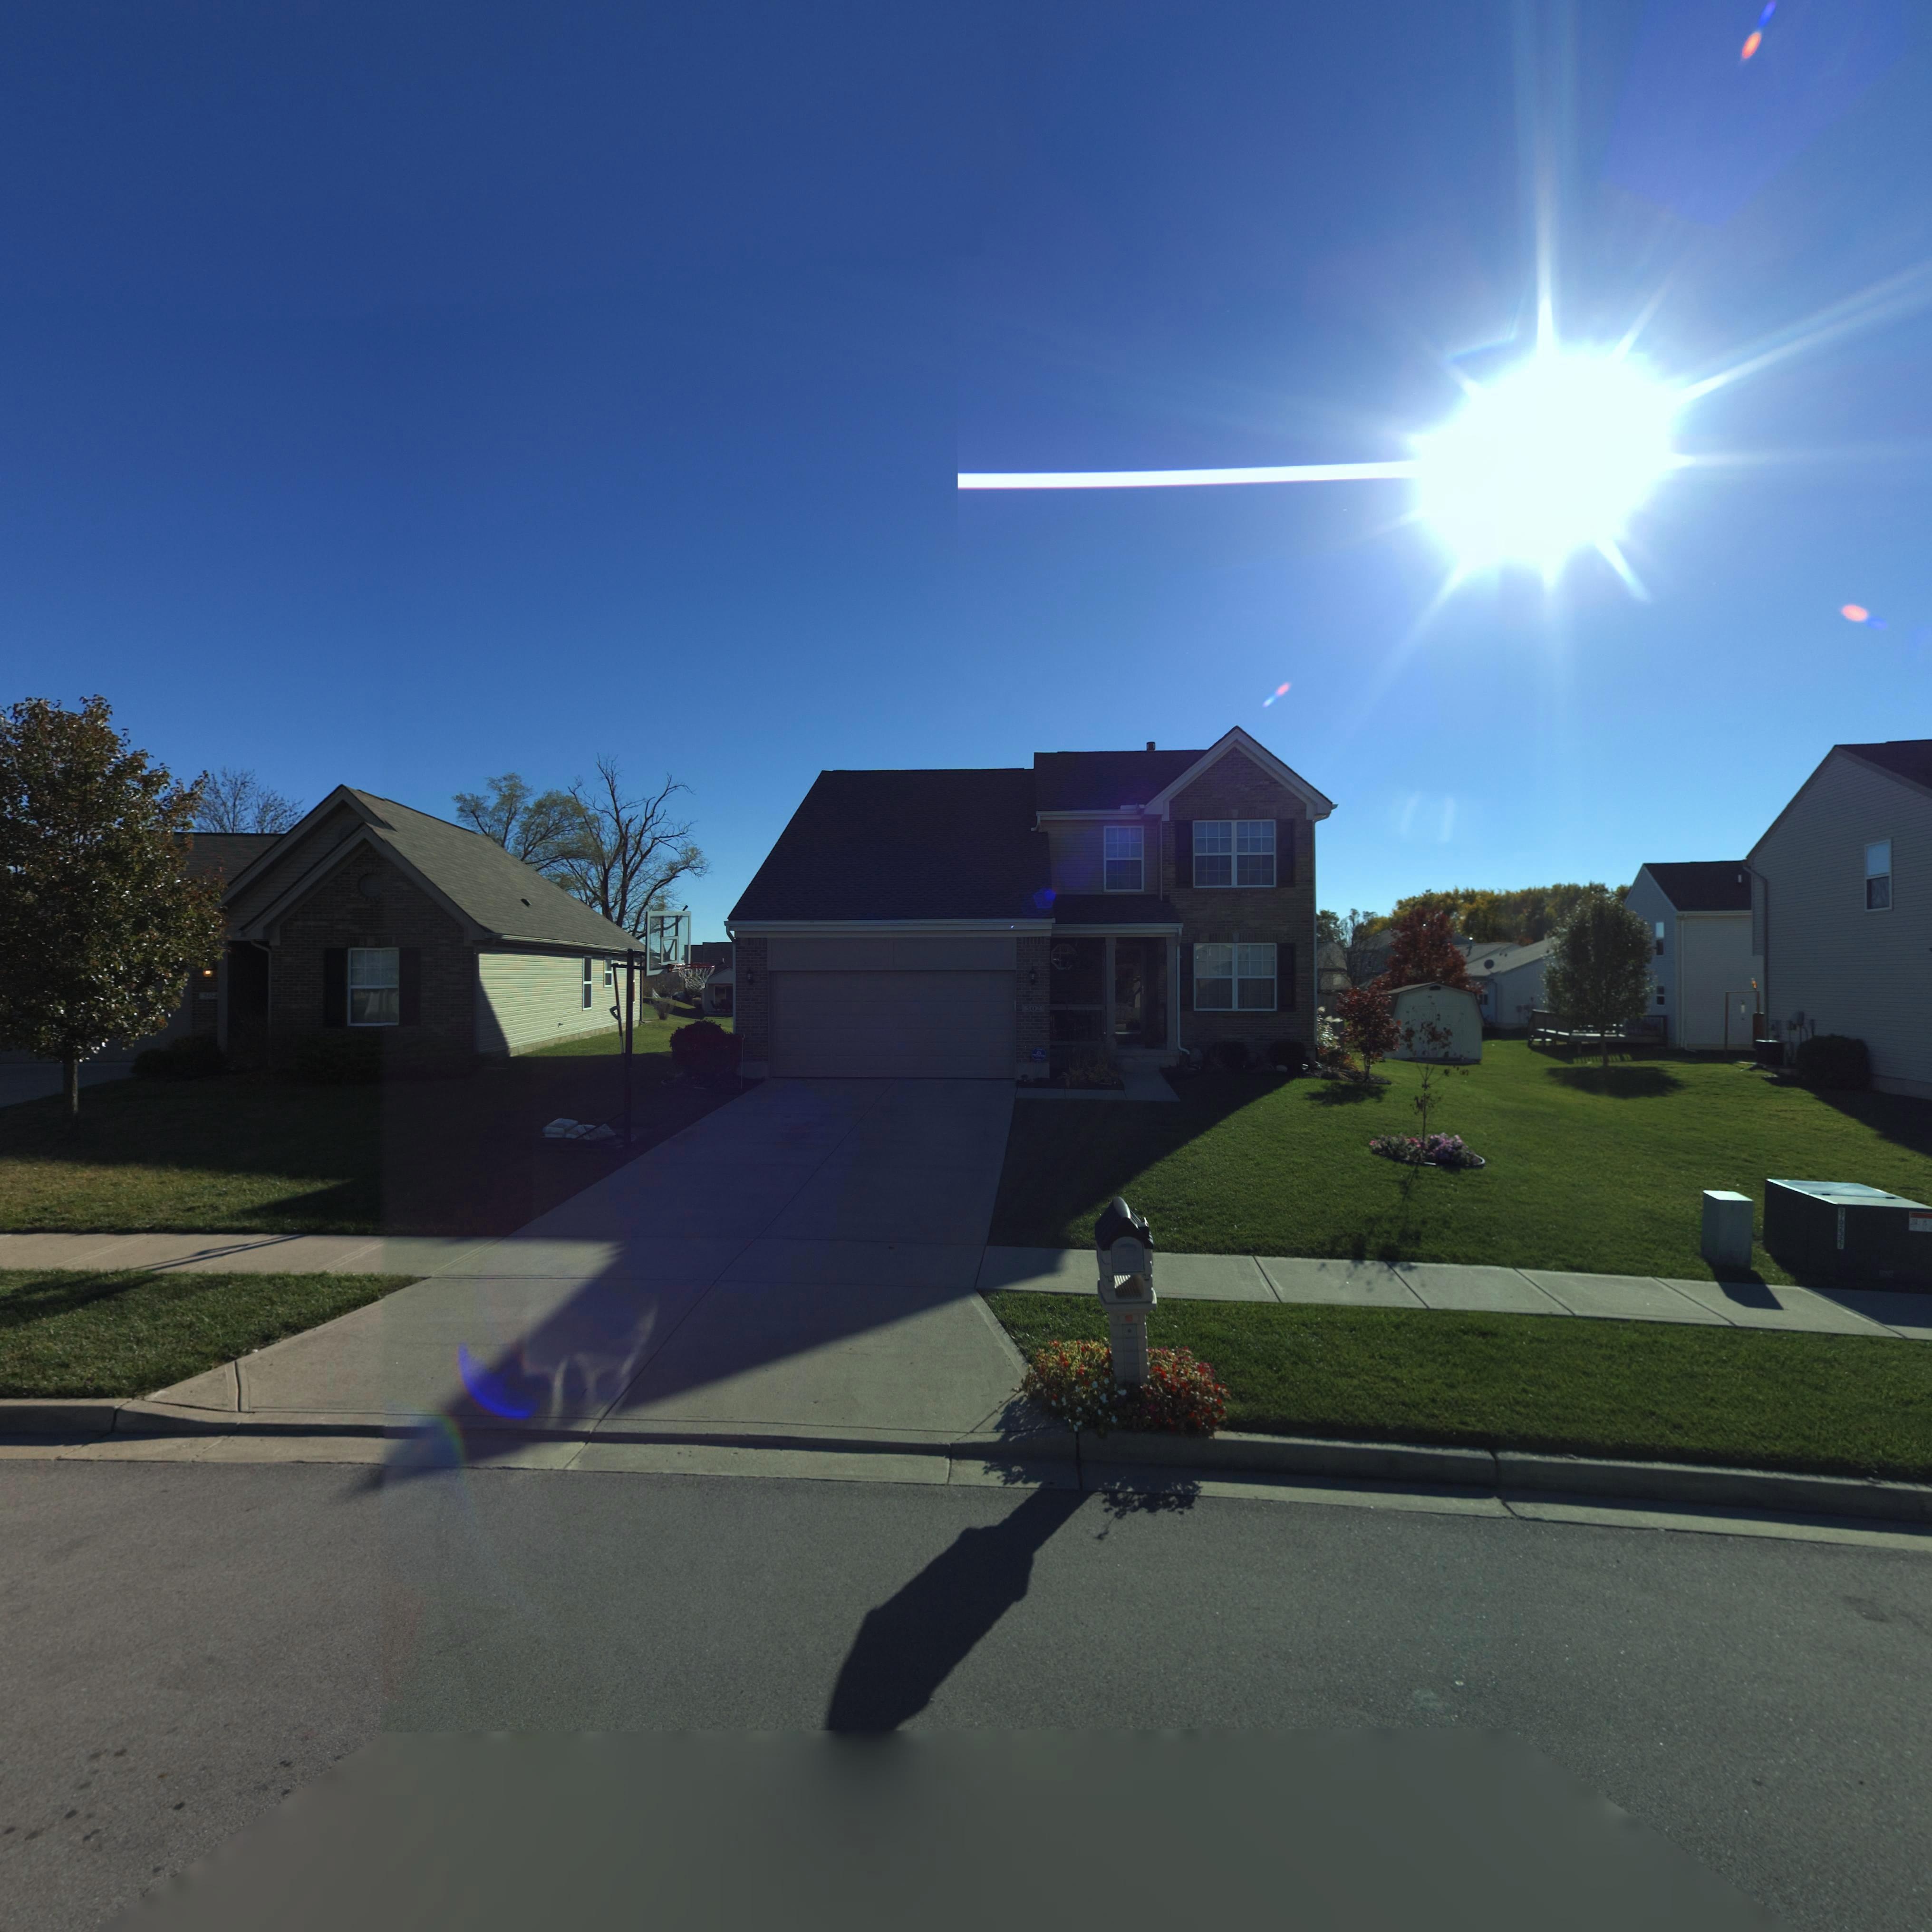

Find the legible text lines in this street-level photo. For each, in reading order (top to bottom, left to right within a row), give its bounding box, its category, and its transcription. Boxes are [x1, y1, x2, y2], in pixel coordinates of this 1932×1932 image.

[202, 993, 219, 1000] StreetNumber: *04
[1025, 1005, 1042, 1013] StreetNumber: 502